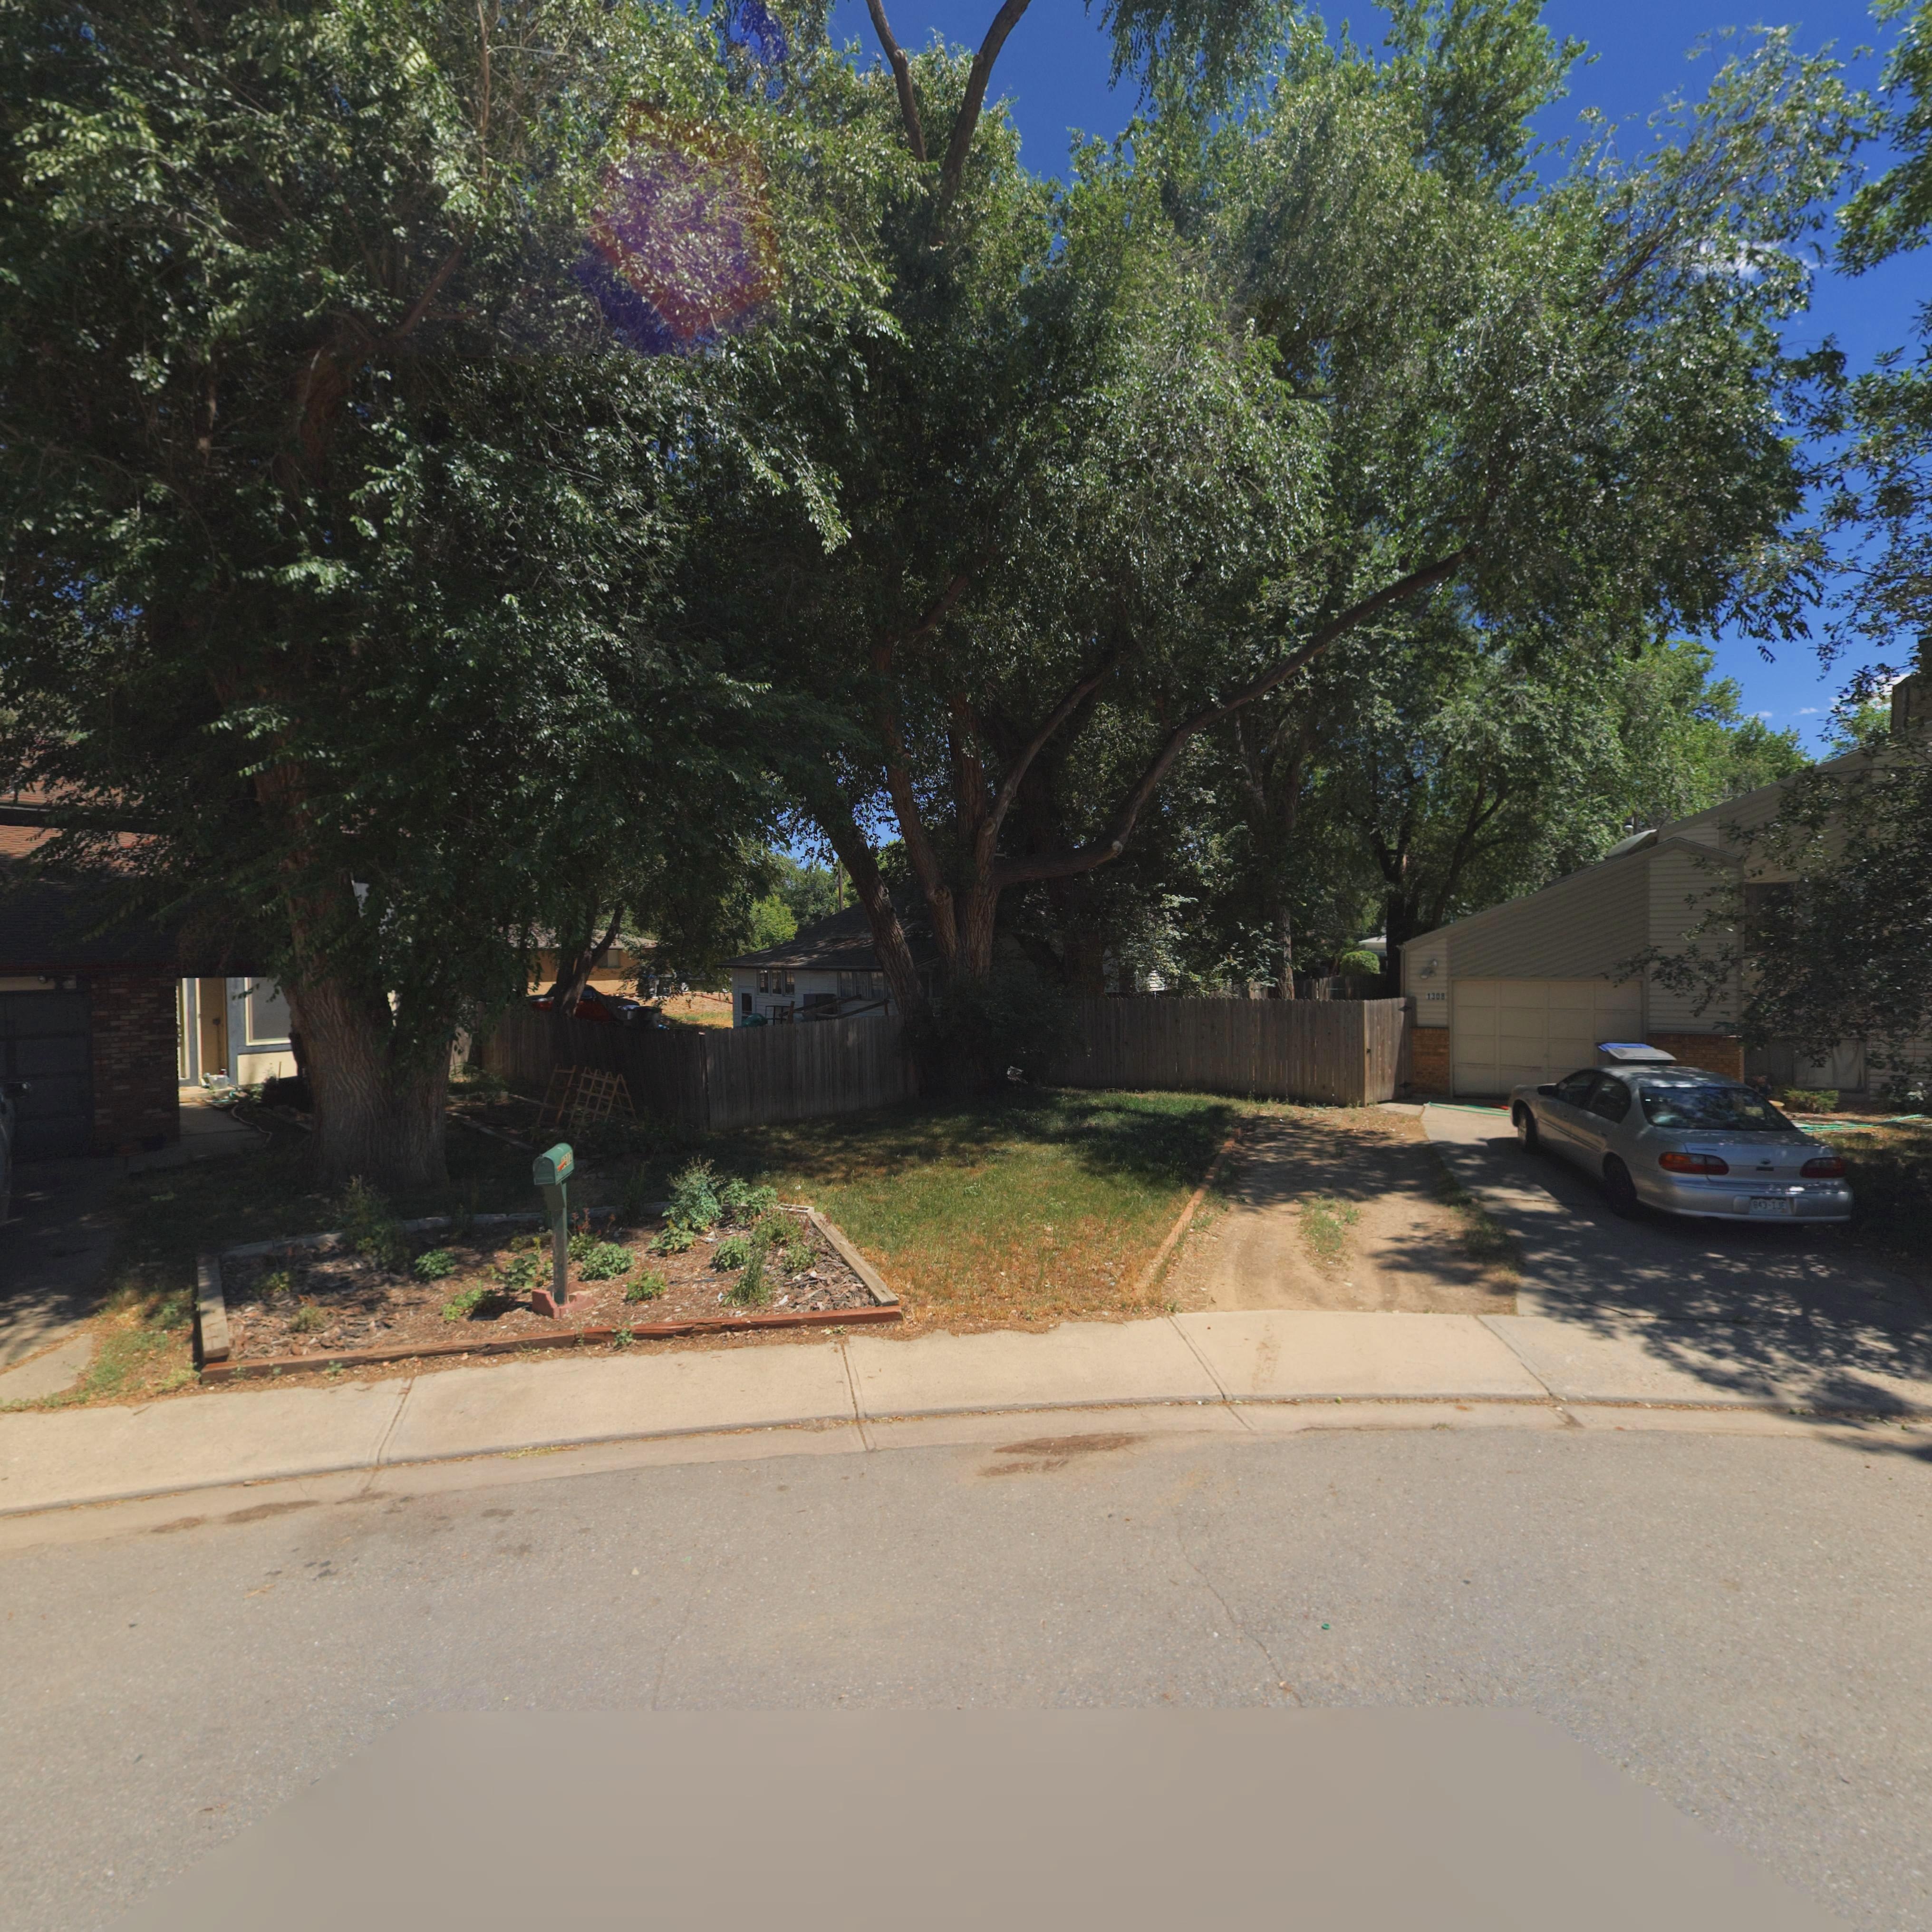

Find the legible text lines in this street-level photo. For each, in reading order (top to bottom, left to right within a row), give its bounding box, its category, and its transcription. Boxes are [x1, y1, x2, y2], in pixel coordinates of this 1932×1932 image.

[1426, 992, 1445, 1000] StreetNumber:  1308
[561, 1151, 572, 1169] StreetNumber: **12